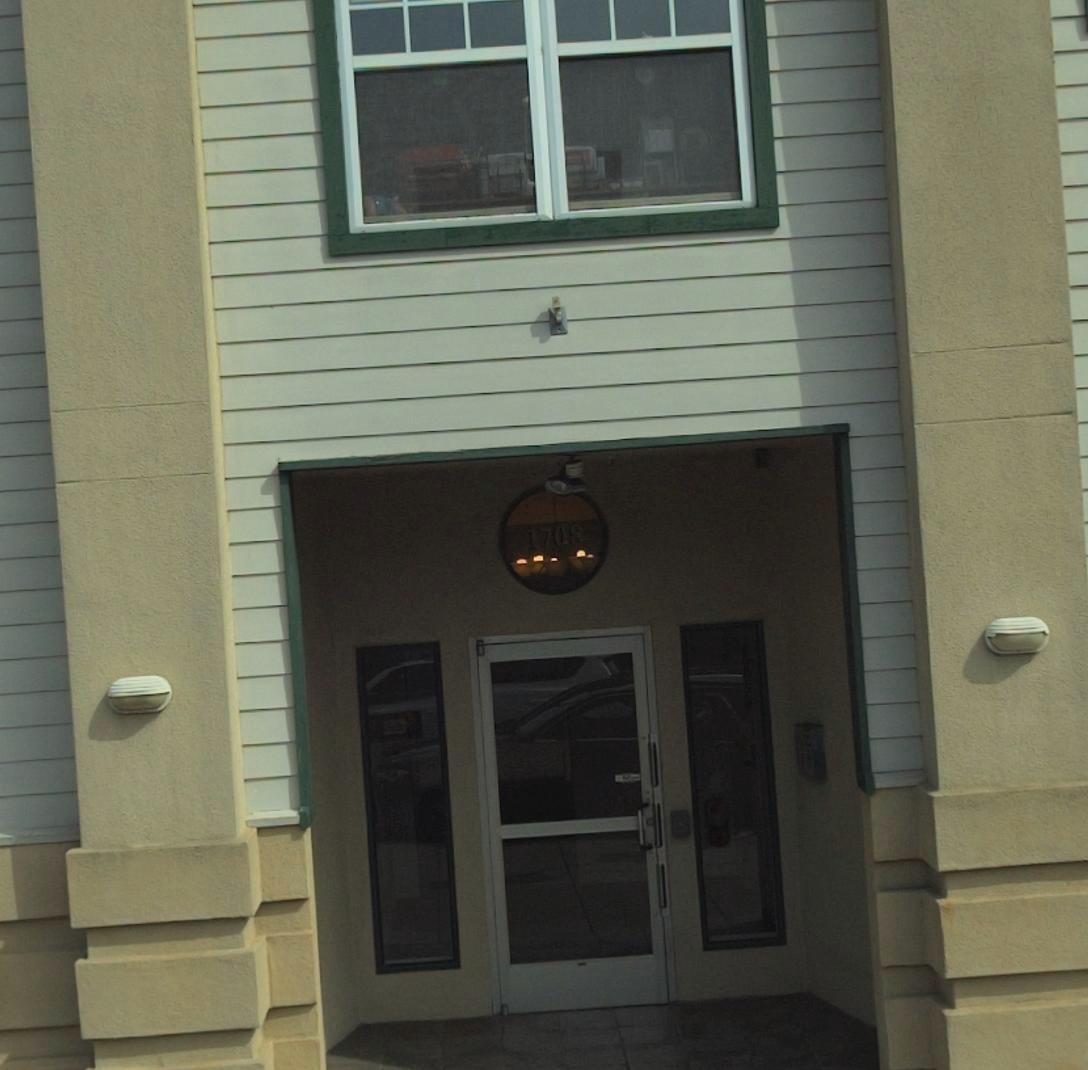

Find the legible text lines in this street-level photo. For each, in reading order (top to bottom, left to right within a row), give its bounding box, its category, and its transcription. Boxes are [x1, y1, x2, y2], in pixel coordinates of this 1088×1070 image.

[524, 521, 587, 555] StreetNumber: 1708